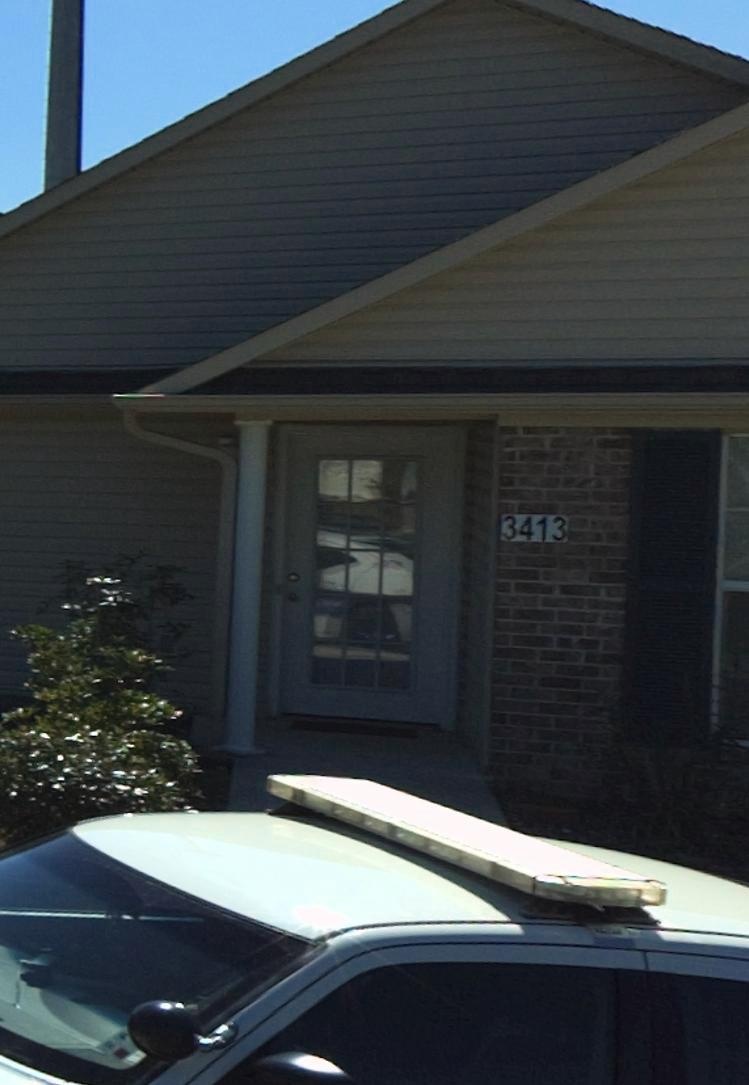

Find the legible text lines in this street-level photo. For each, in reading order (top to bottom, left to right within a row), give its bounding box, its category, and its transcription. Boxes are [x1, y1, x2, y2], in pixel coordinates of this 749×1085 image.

[502, 515, 567, 542] StreetNumber: 3413